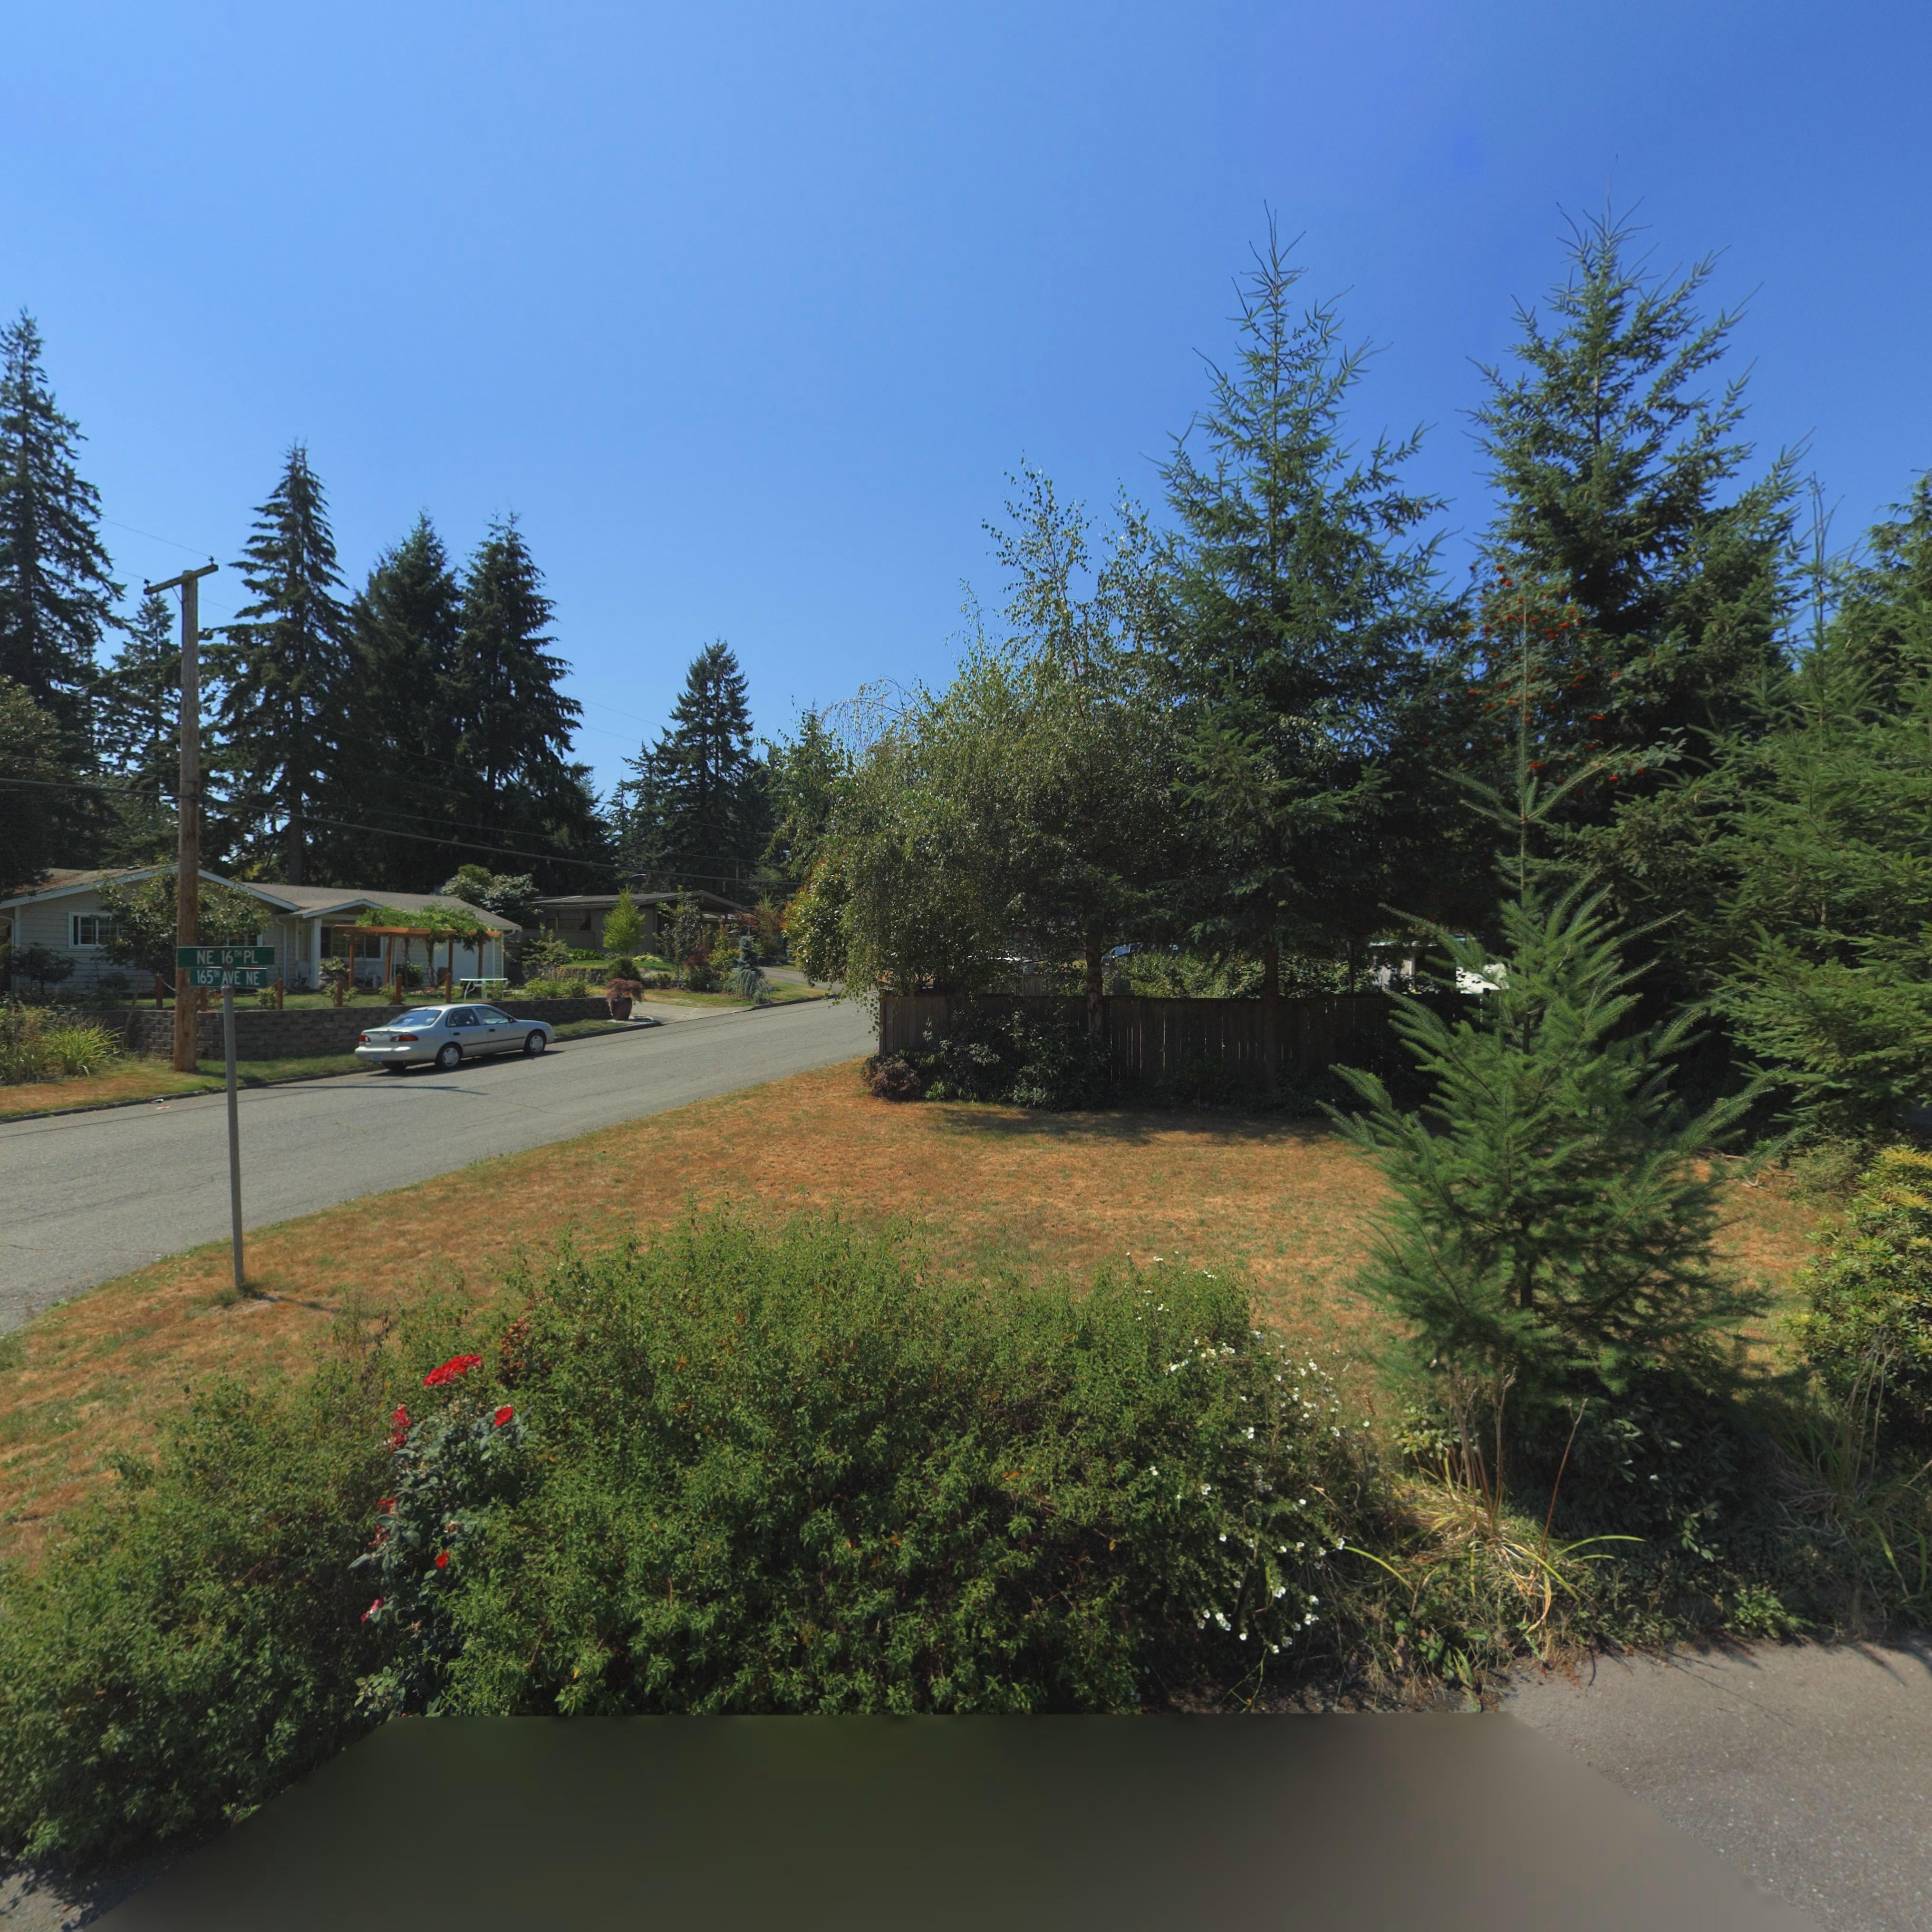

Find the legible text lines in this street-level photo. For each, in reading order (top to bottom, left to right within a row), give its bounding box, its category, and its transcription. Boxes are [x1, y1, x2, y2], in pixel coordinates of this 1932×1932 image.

[197, 950, 258, 964] StreetName: NE 16th PL
[197, 970, 259, 985] StreetName: 165th AVE NE